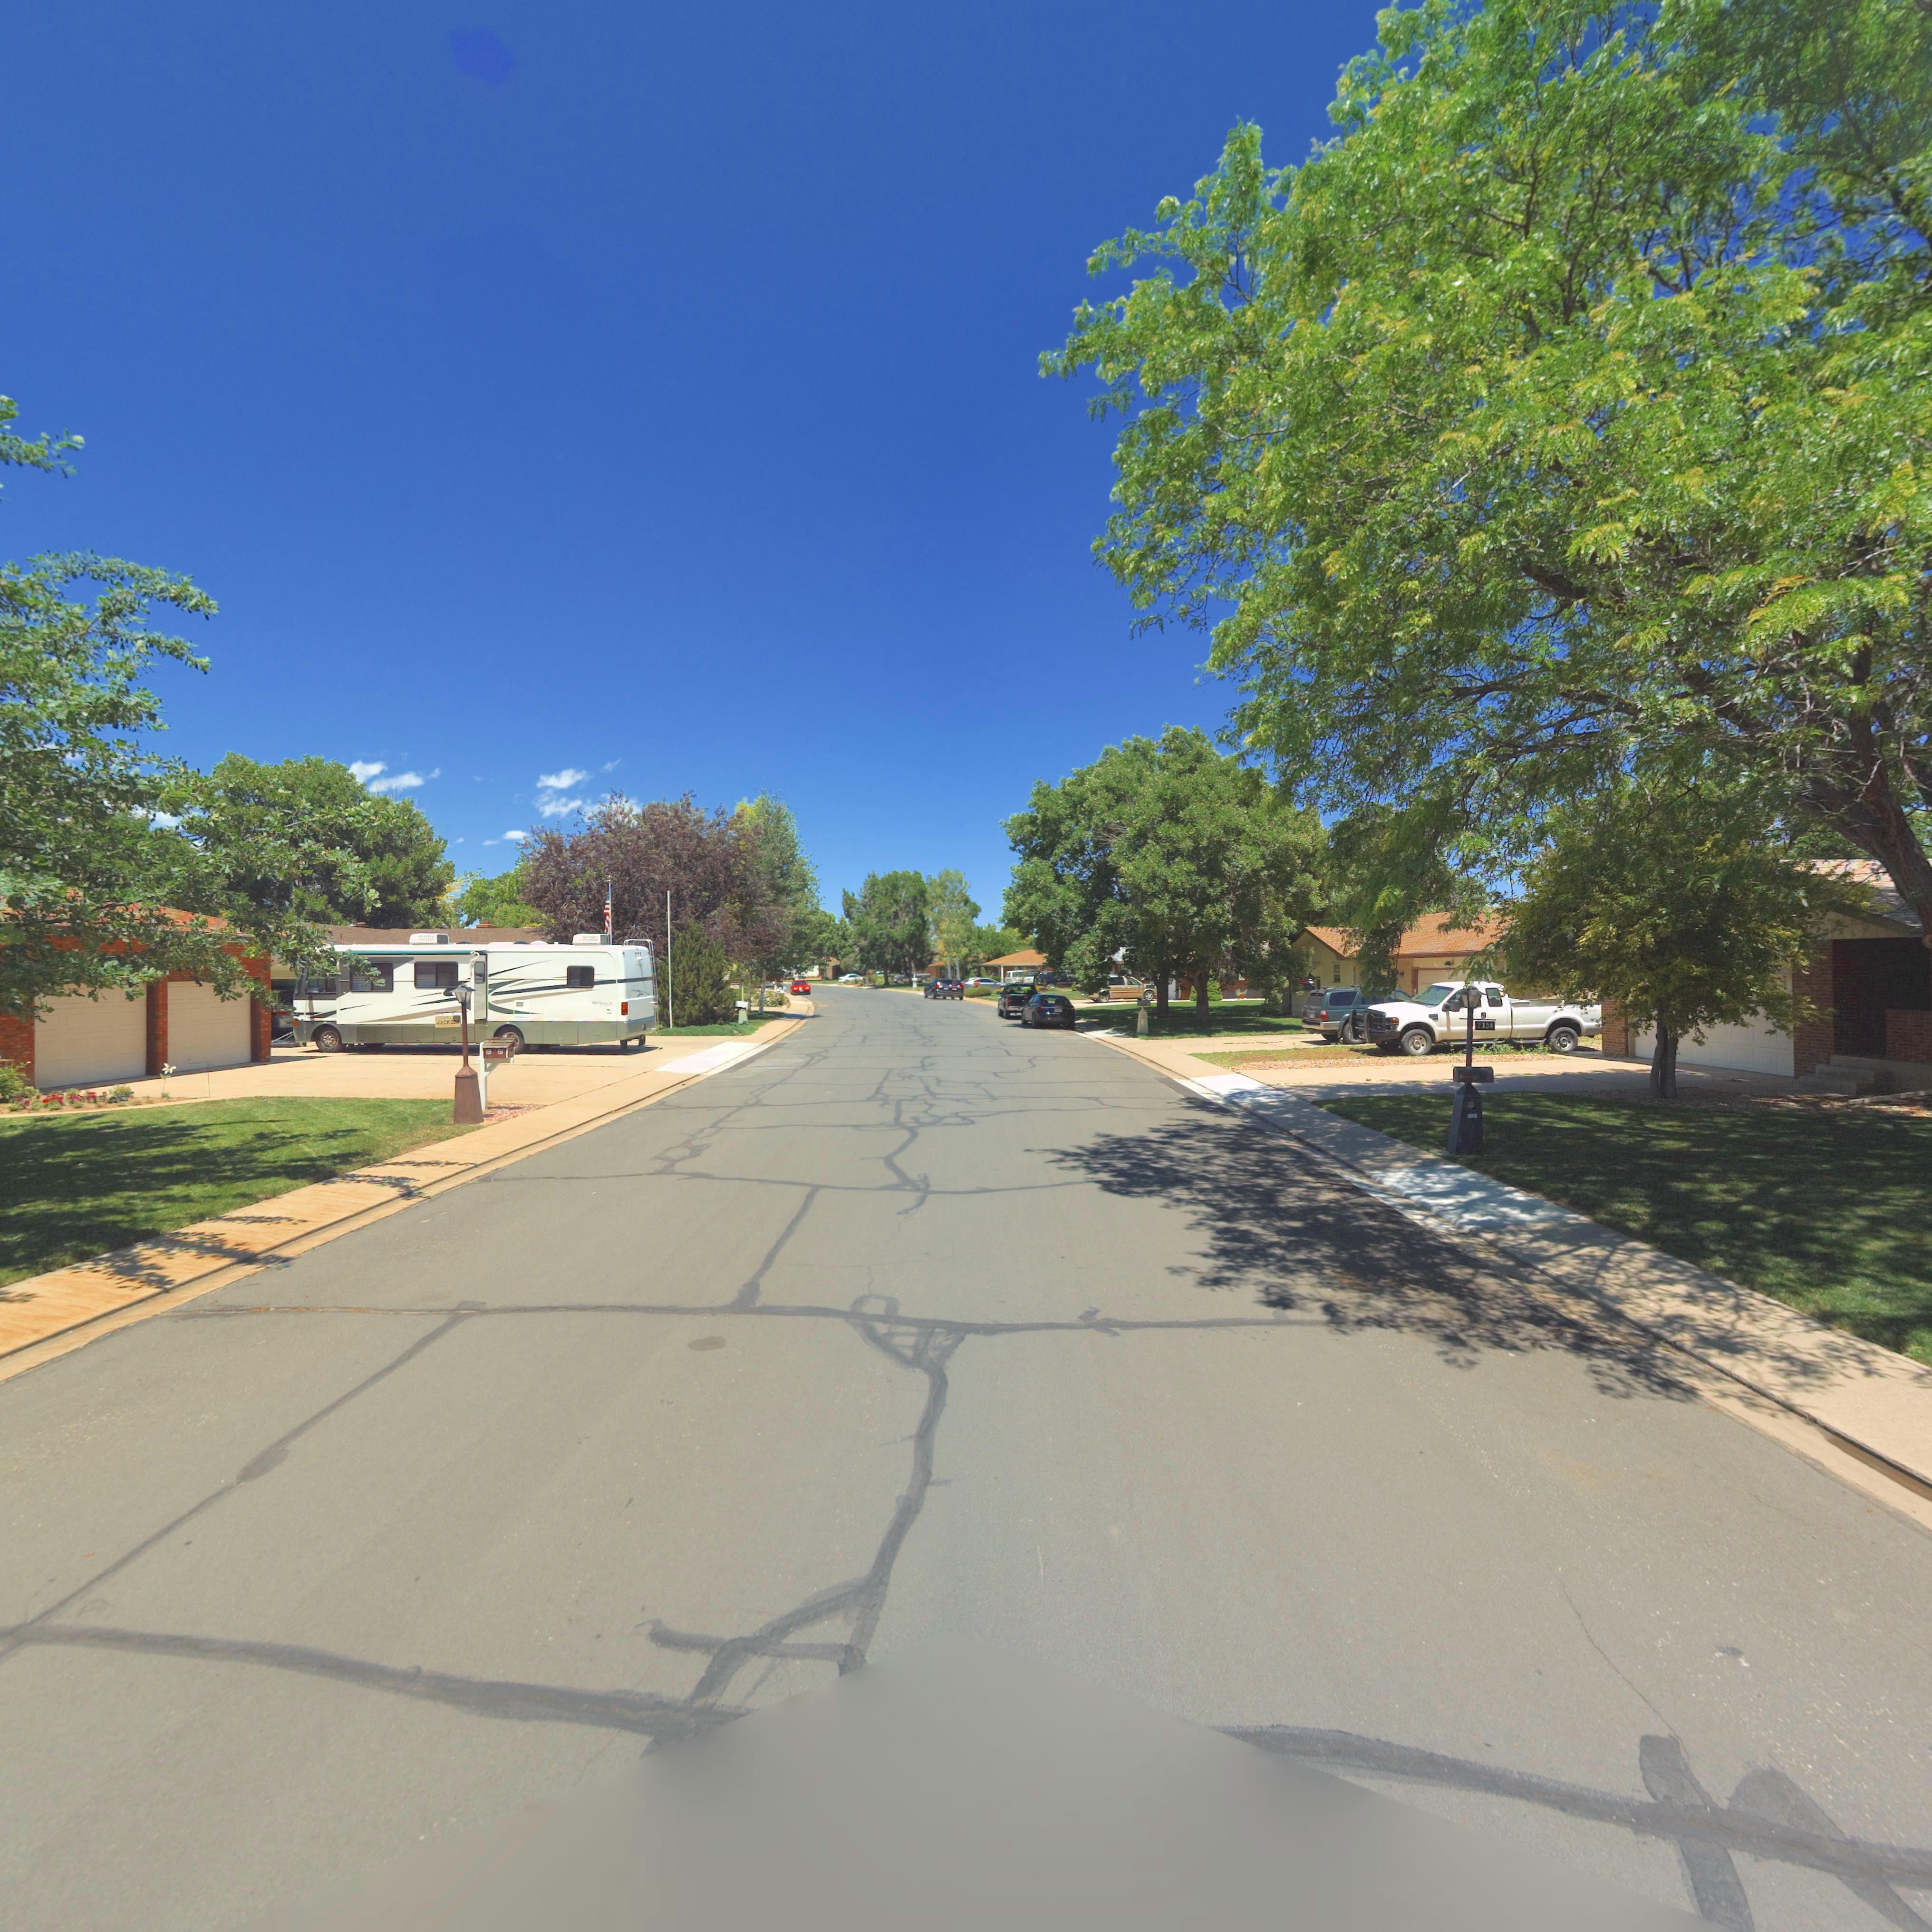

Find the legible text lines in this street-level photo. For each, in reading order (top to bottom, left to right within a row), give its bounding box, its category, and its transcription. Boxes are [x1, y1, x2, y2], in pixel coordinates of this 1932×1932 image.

[1477, 1022, 1493, 1029] StreetNumber: 2334